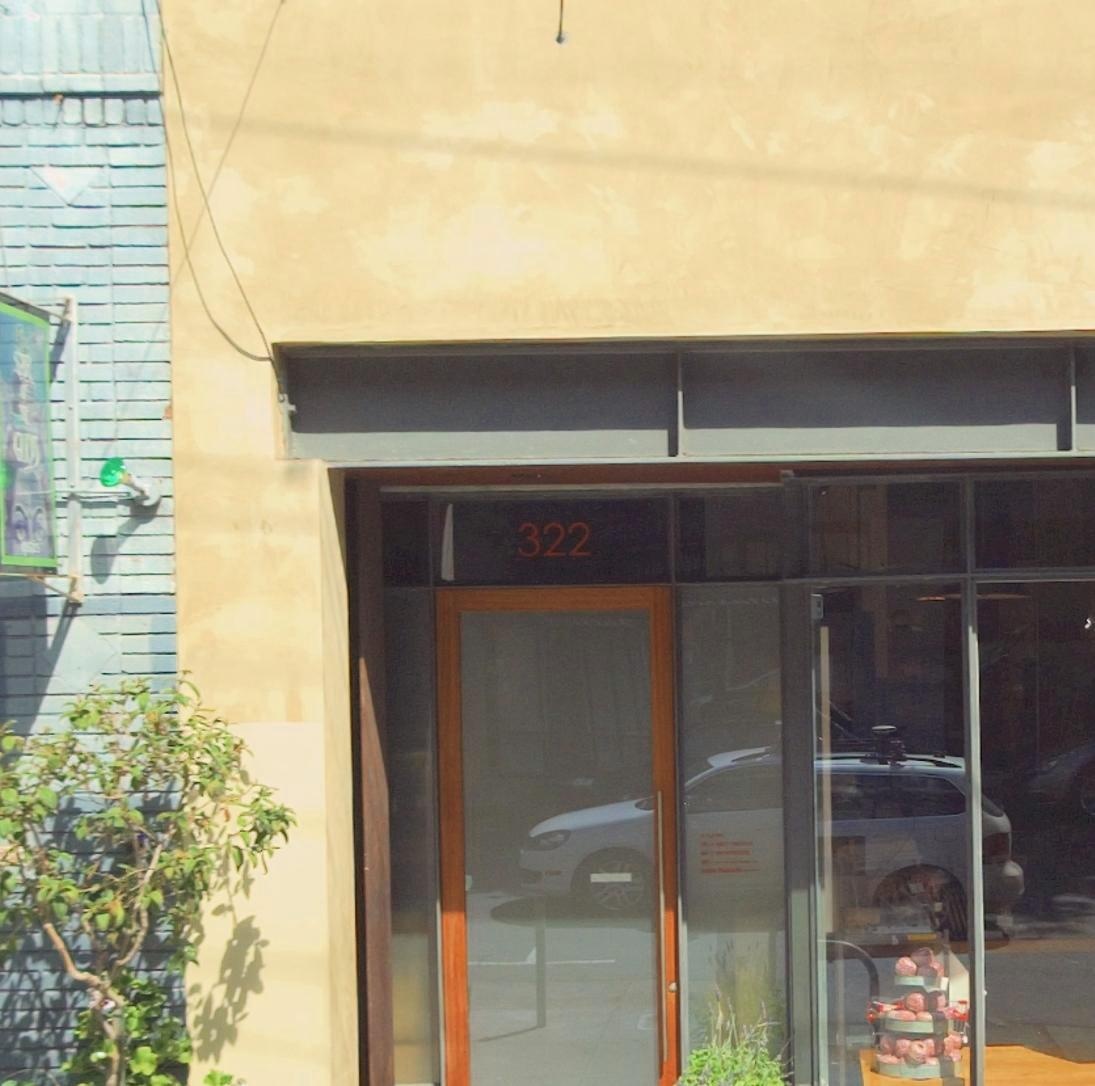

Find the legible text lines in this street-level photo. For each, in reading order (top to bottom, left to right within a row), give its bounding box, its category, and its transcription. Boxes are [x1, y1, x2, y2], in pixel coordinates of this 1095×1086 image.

[515, 521, 596, 560] StreetNumber: 322